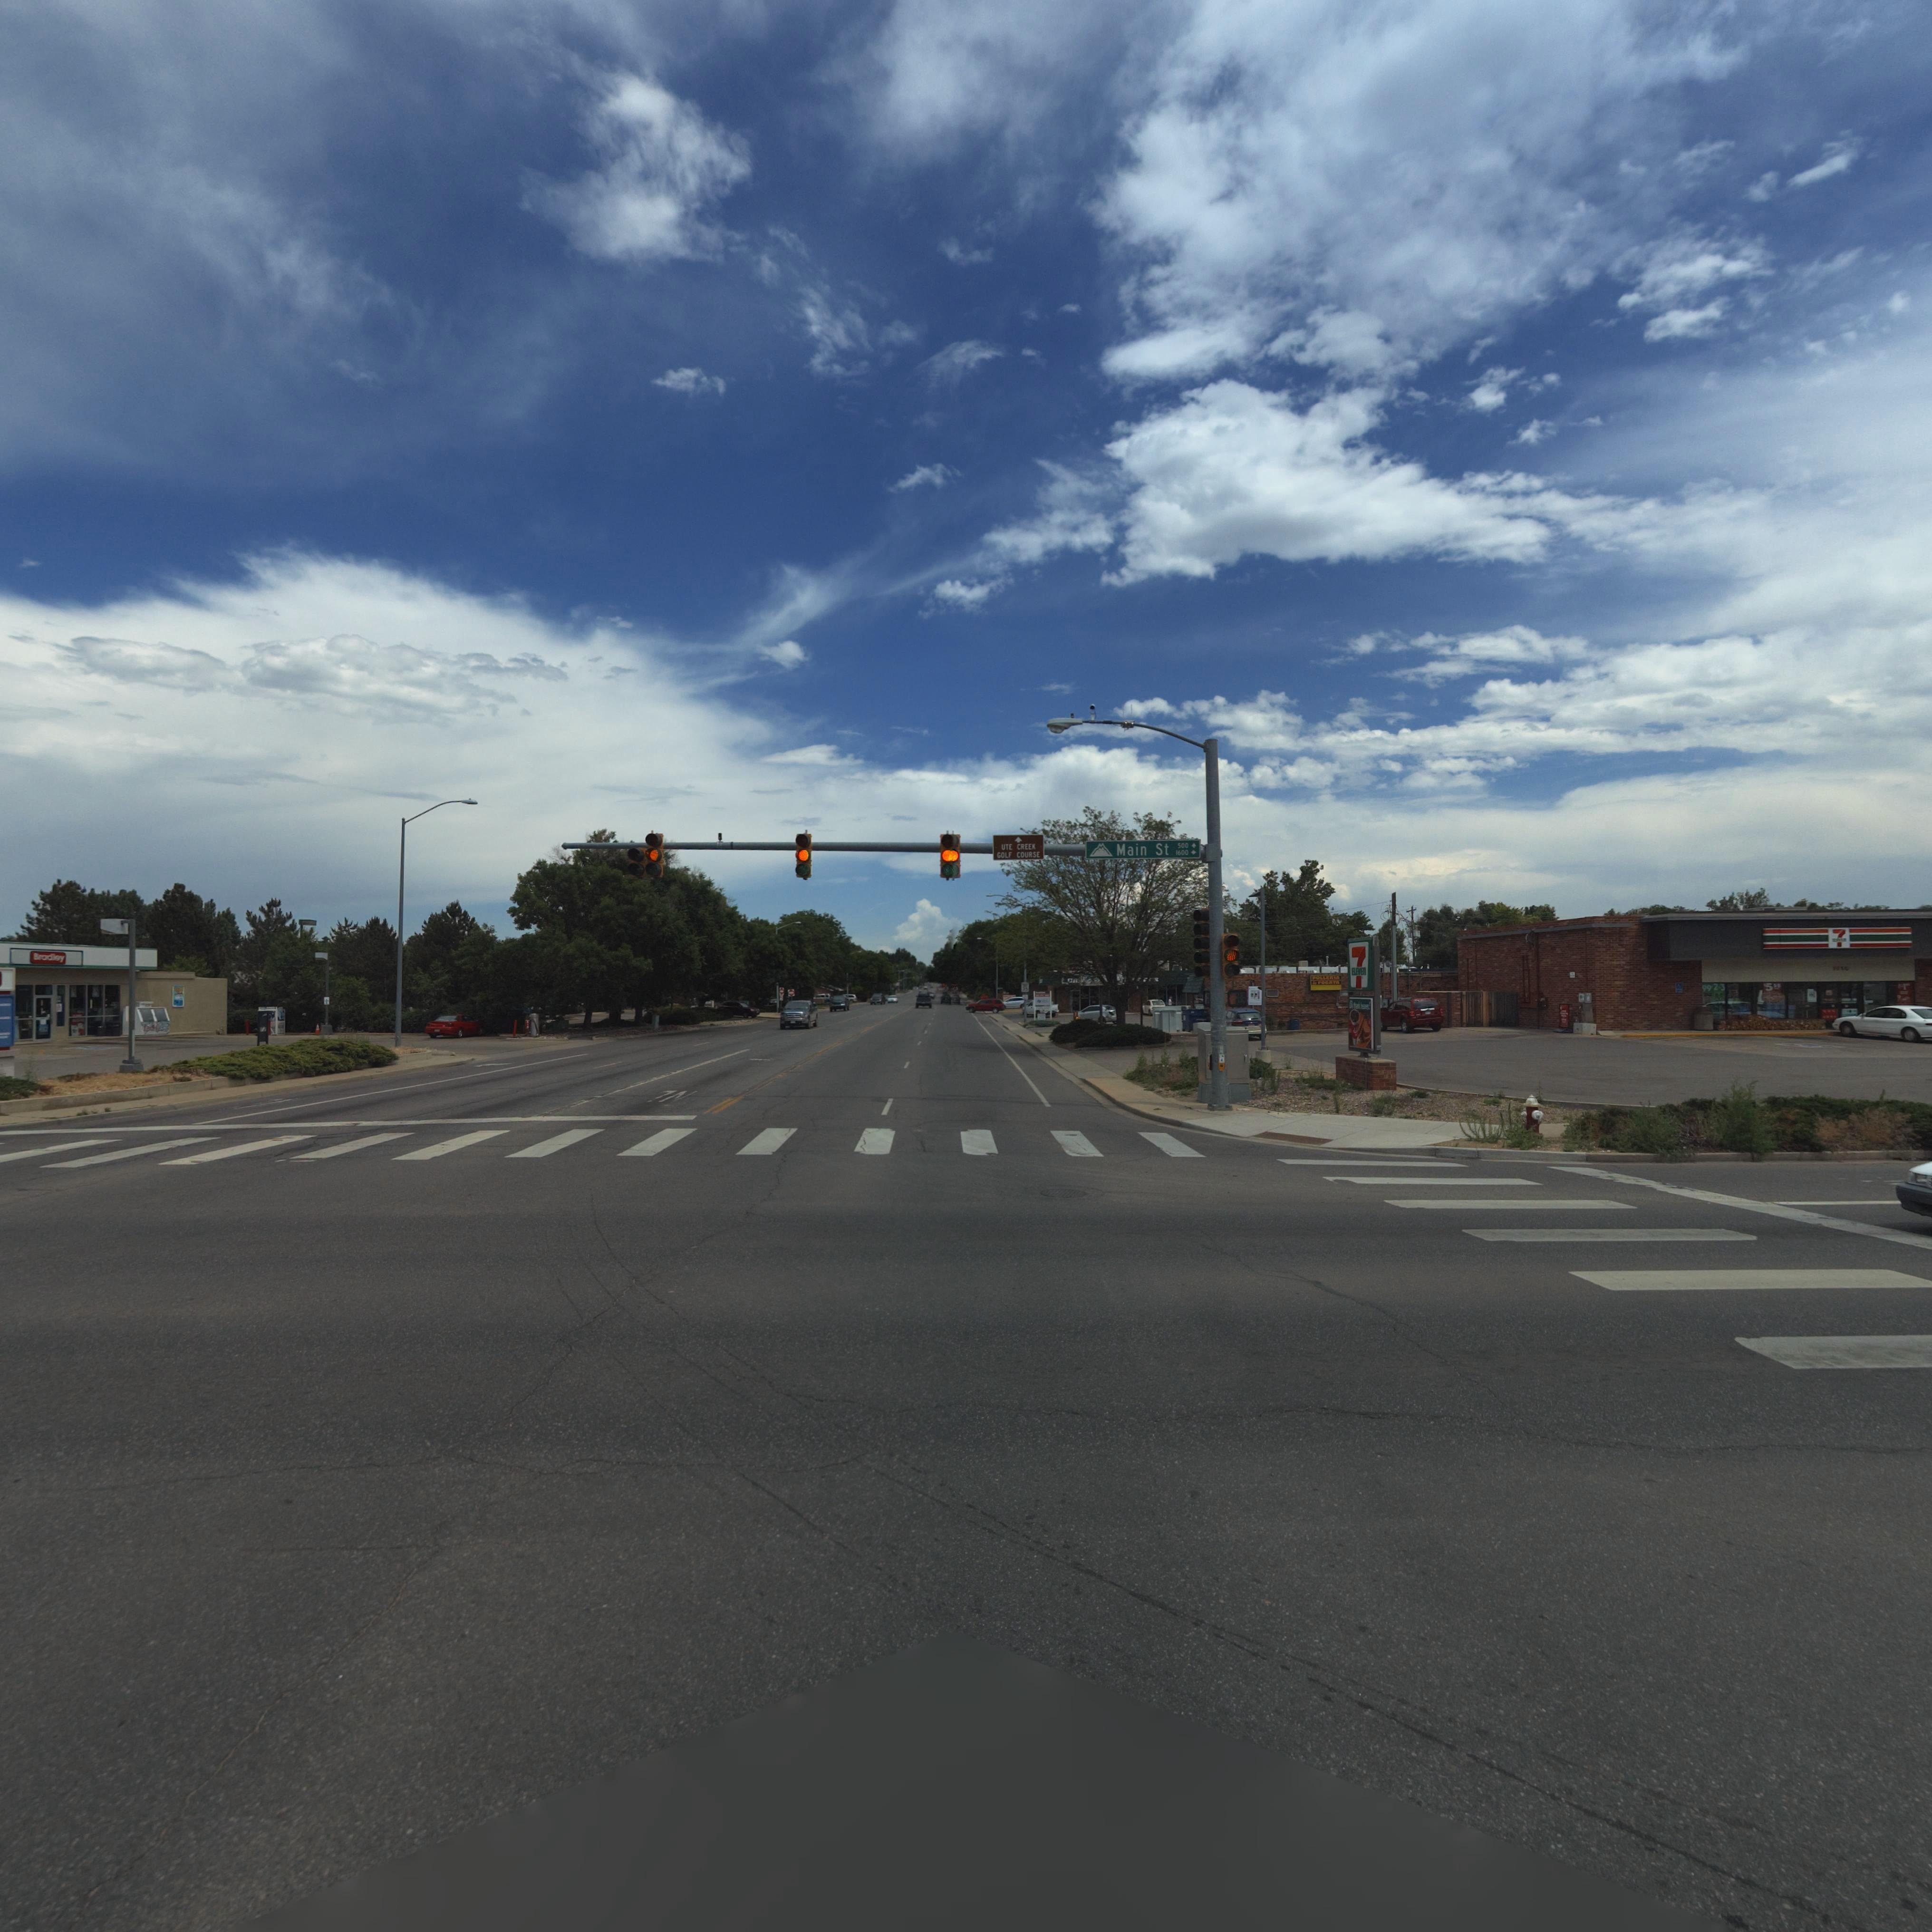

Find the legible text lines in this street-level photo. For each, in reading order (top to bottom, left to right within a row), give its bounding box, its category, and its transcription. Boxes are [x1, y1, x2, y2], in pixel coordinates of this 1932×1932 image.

[1116, 842, 1169, 856] StreetName: Main St
[1177, 842, 1188, 849] StreetNumberRange: 500
[1175, 849, 1197, 856] StreetNumberRange: 1600->
[1832, 928, 1846, 947] BusinessName: 7
[33, 953, 65, 963] BusinessName: ***d**y
[1351, 945, 1366, 989] BusinessName: 7
[1352, 966, 1366, 976] BusinessName: E*E*En
[1832, 966, 1849, 971] StreetNumber: 1**0
[1061, 976, 1080, 985] BusinessName: *a*
[1312, 980, 1340, 985] BusinessName: ** *O**T*
[1312, 976, 1340, 980] BusinessName: POLLERIA